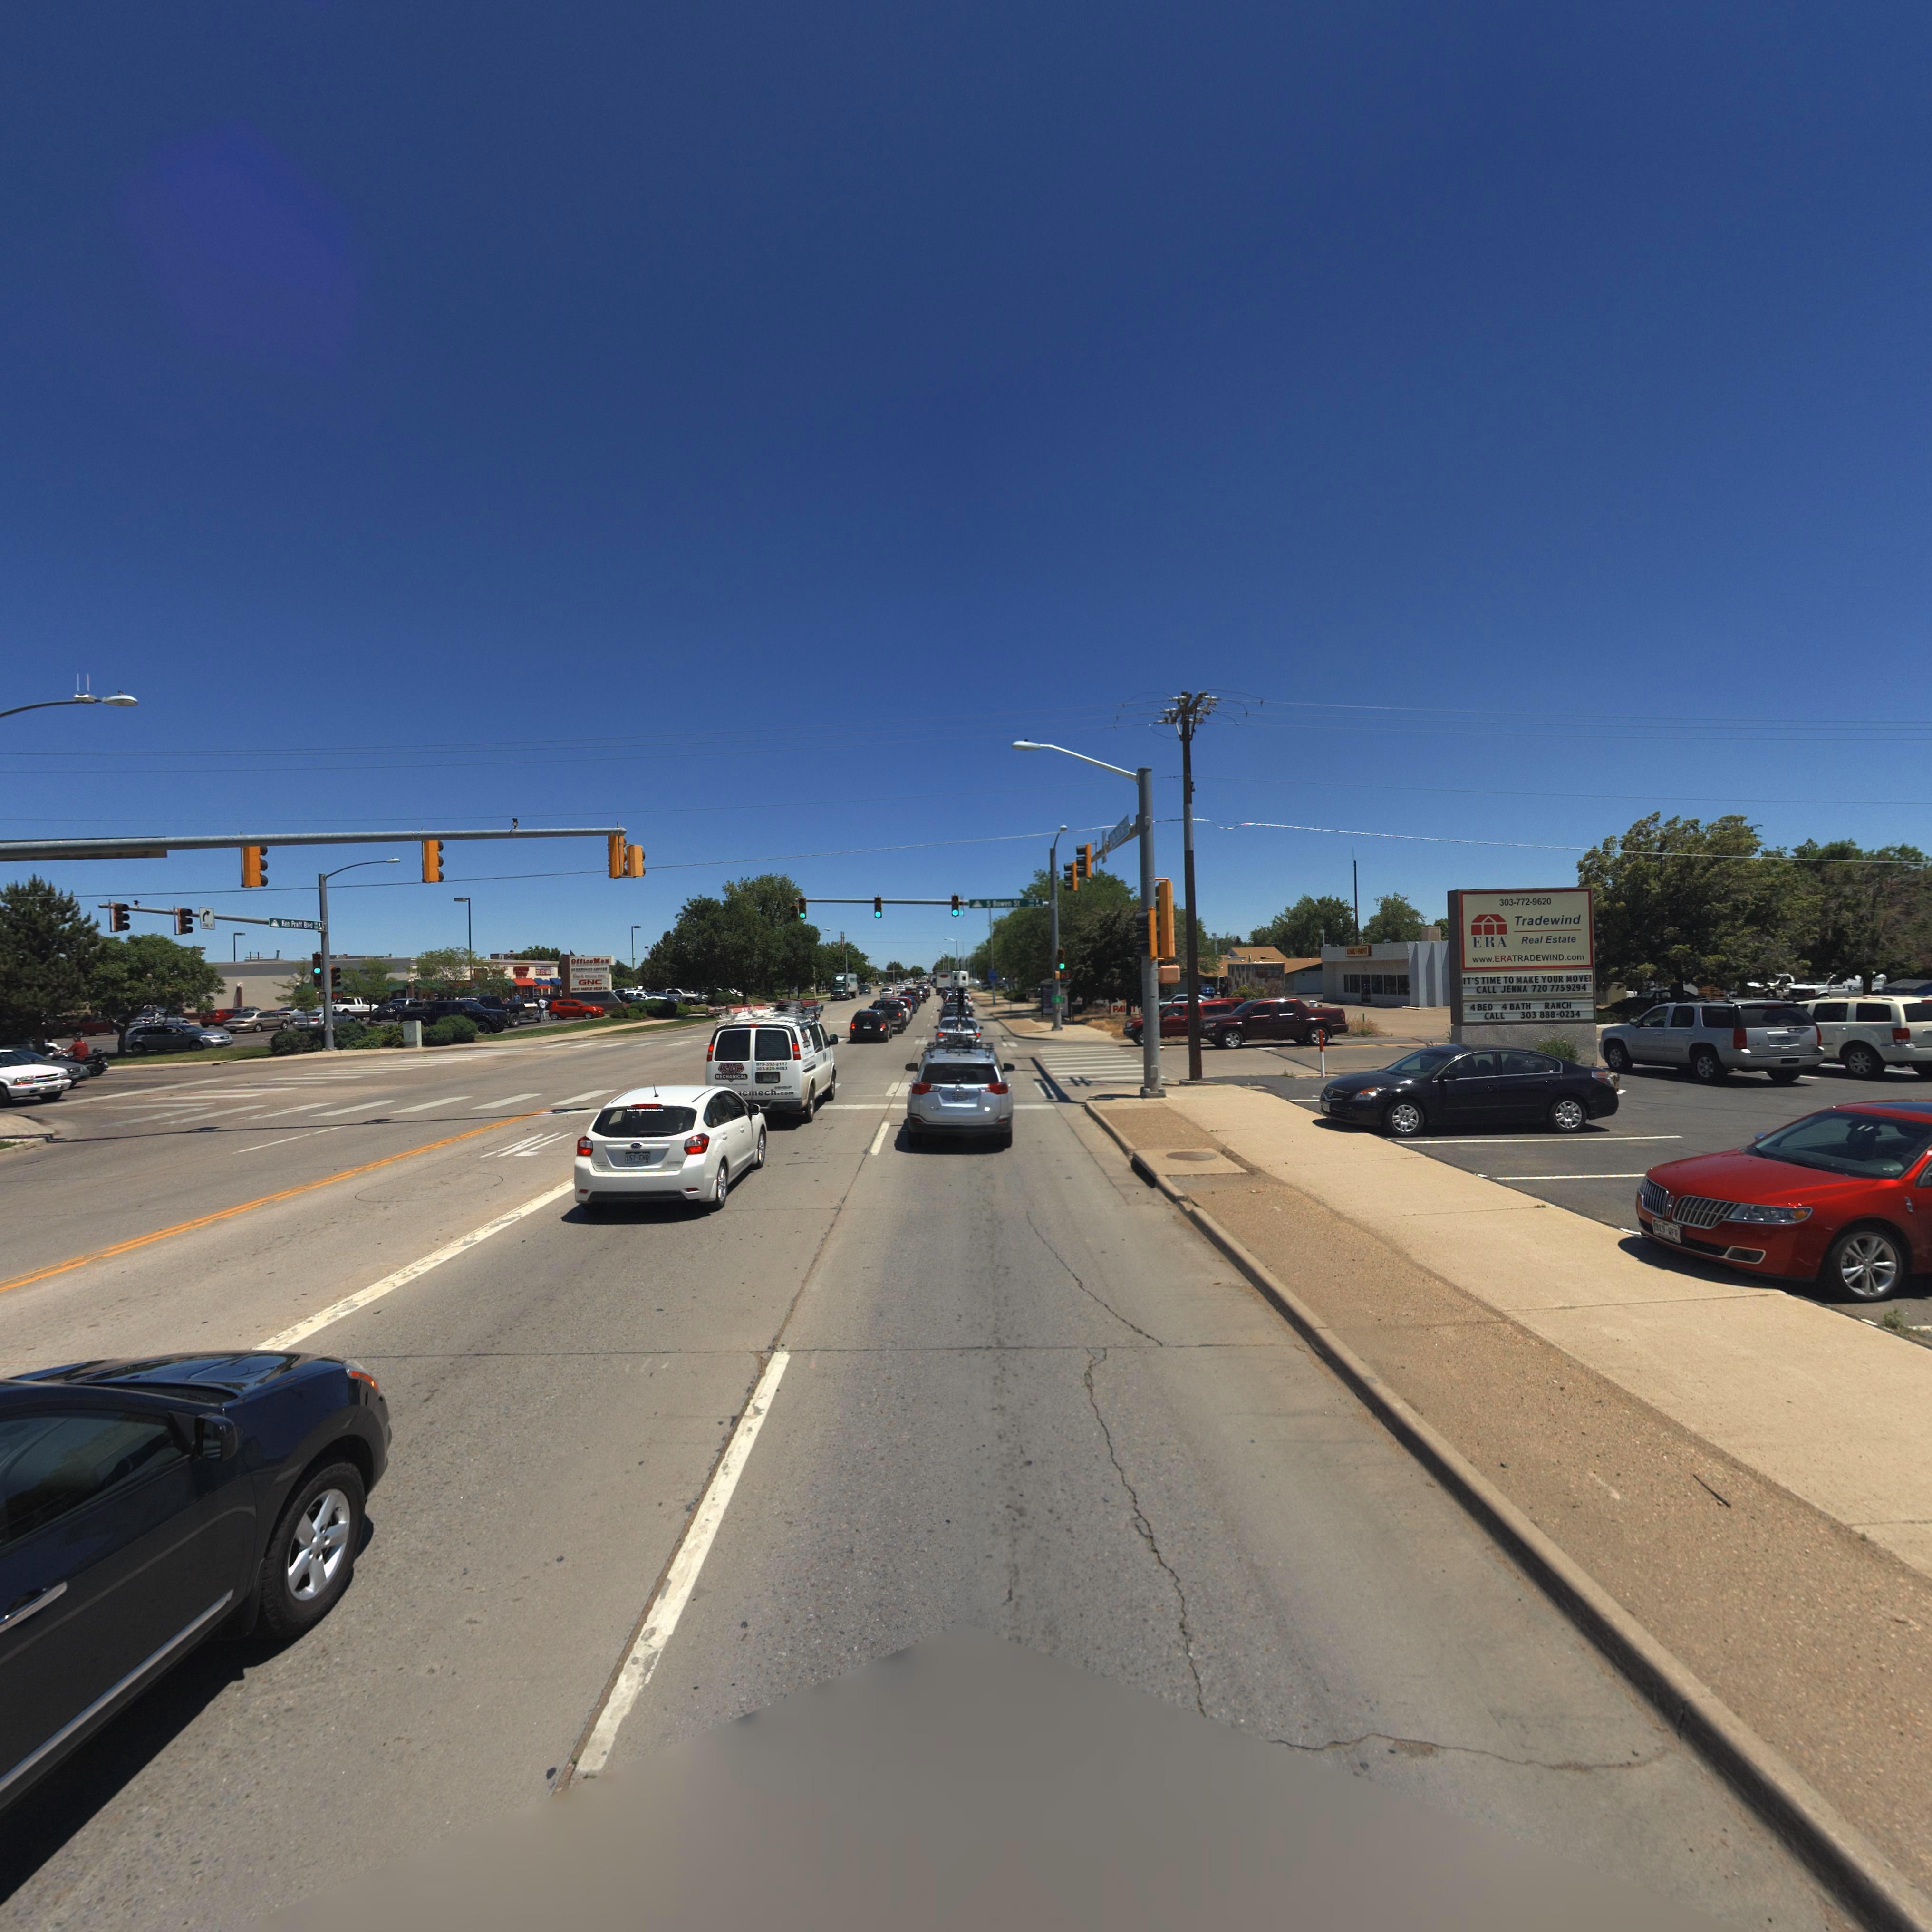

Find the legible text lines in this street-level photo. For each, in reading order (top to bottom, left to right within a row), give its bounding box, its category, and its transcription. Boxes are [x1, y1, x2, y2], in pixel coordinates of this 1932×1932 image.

[985, 899, 1020, 907] StreetName: S Bowen St
[281, 919, 313, 928] StreetName: Ken Pratt Blvd
[1514, 914, 1581, 926] BusinessName: Tradewind
[1472, 935, 1507, 948] BusinessName: ERA
[1521, 935, 1576, 944] BusinessName: Real Estate
[1346, 947, 1367, 955] BusinessName: *AL OA*NT
[570, 957, 609, 964] BusinessName: Office Max
[578, 979, 602, 985] BusinessName: GNC
[1112, 1005, 1137, 1013] BusinessName: PAI*T